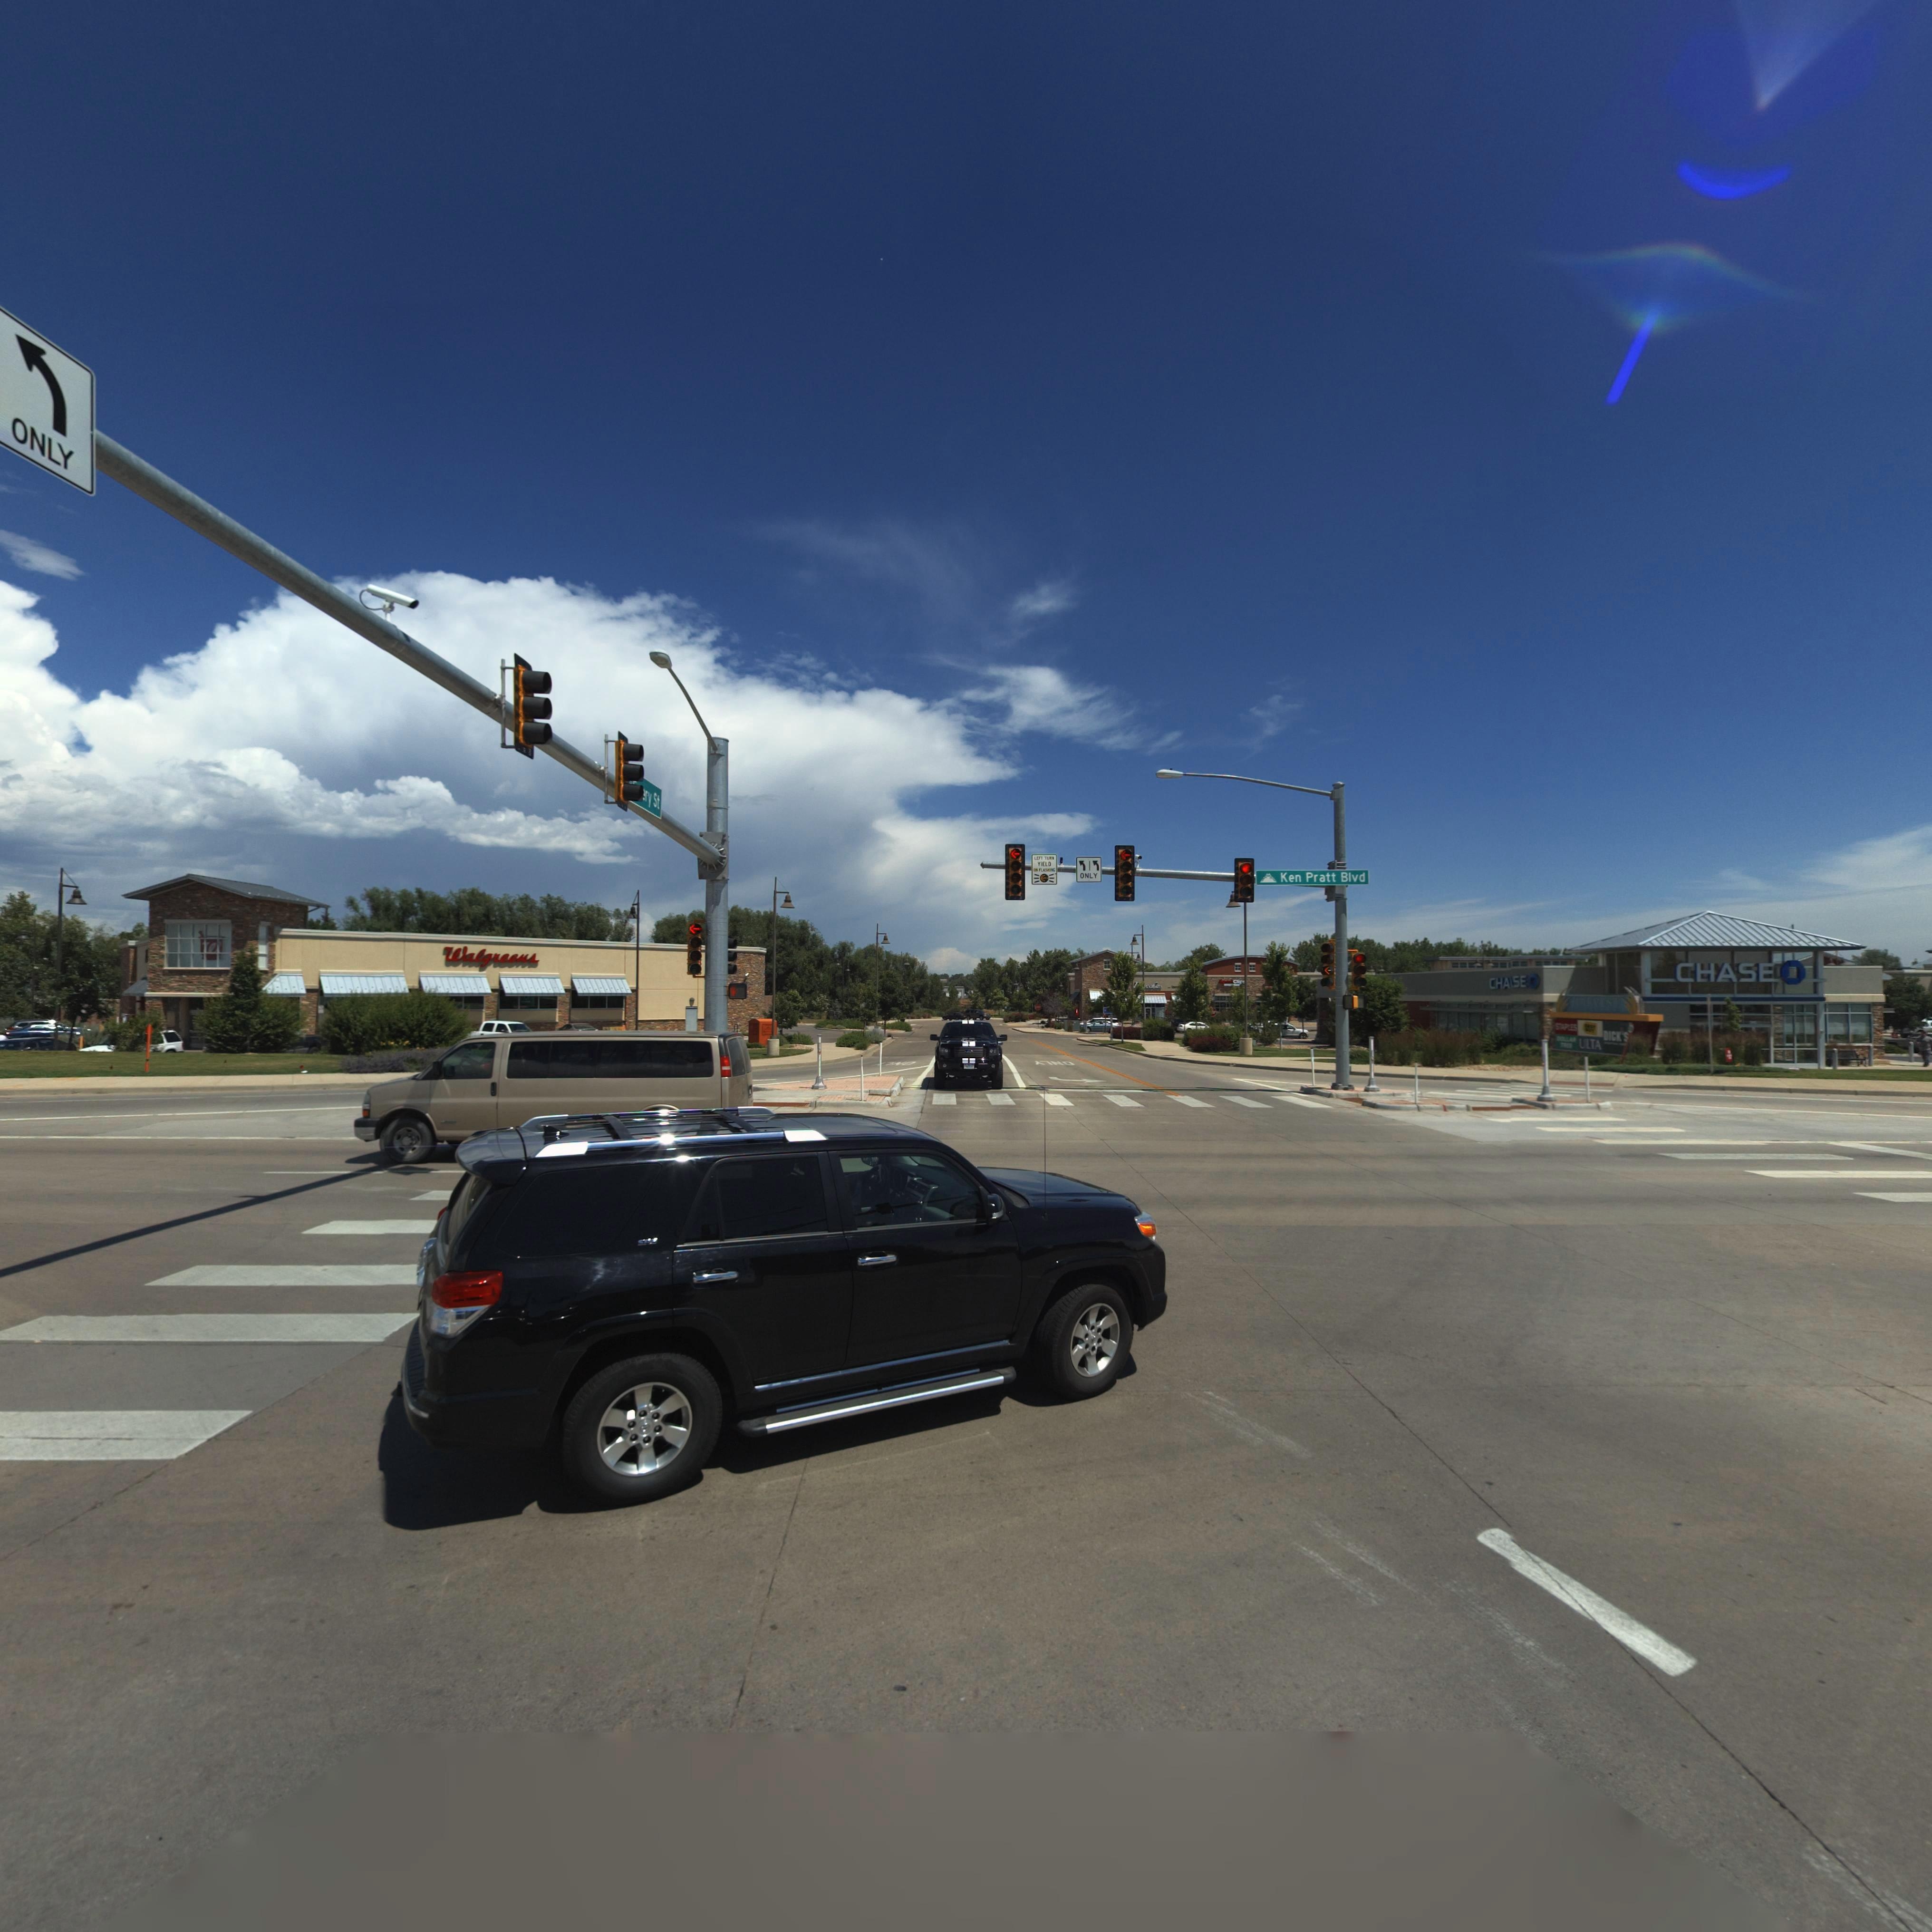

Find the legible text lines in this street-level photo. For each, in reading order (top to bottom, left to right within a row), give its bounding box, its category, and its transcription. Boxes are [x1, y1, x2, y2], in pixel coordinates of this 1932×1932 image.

[645, 790, 660, 810] StreetName: ry St
[1280, 872, 1365, 882] StreetName: Ken Pratt Blvd
[444, 946, 541, 968] BusinessName: Walgreens
[1674, 962, 1774, 982] BusinessName: CHASE
[1489, 975, 1526, 989] BusinessName: CHASE
[1555, 1023, 1577, 1031] BusinessName: STAPLES
[1560, 1042, 1572, 1049] BusinessName: TREE
[1557, 1036, 1576, 1043] BusinessName: DOLLAR
[1578, 1038, 1603, 1050] BusinessName: ULTA
[1604, 1030, 1629, 1042] BusinessName: DICK'S